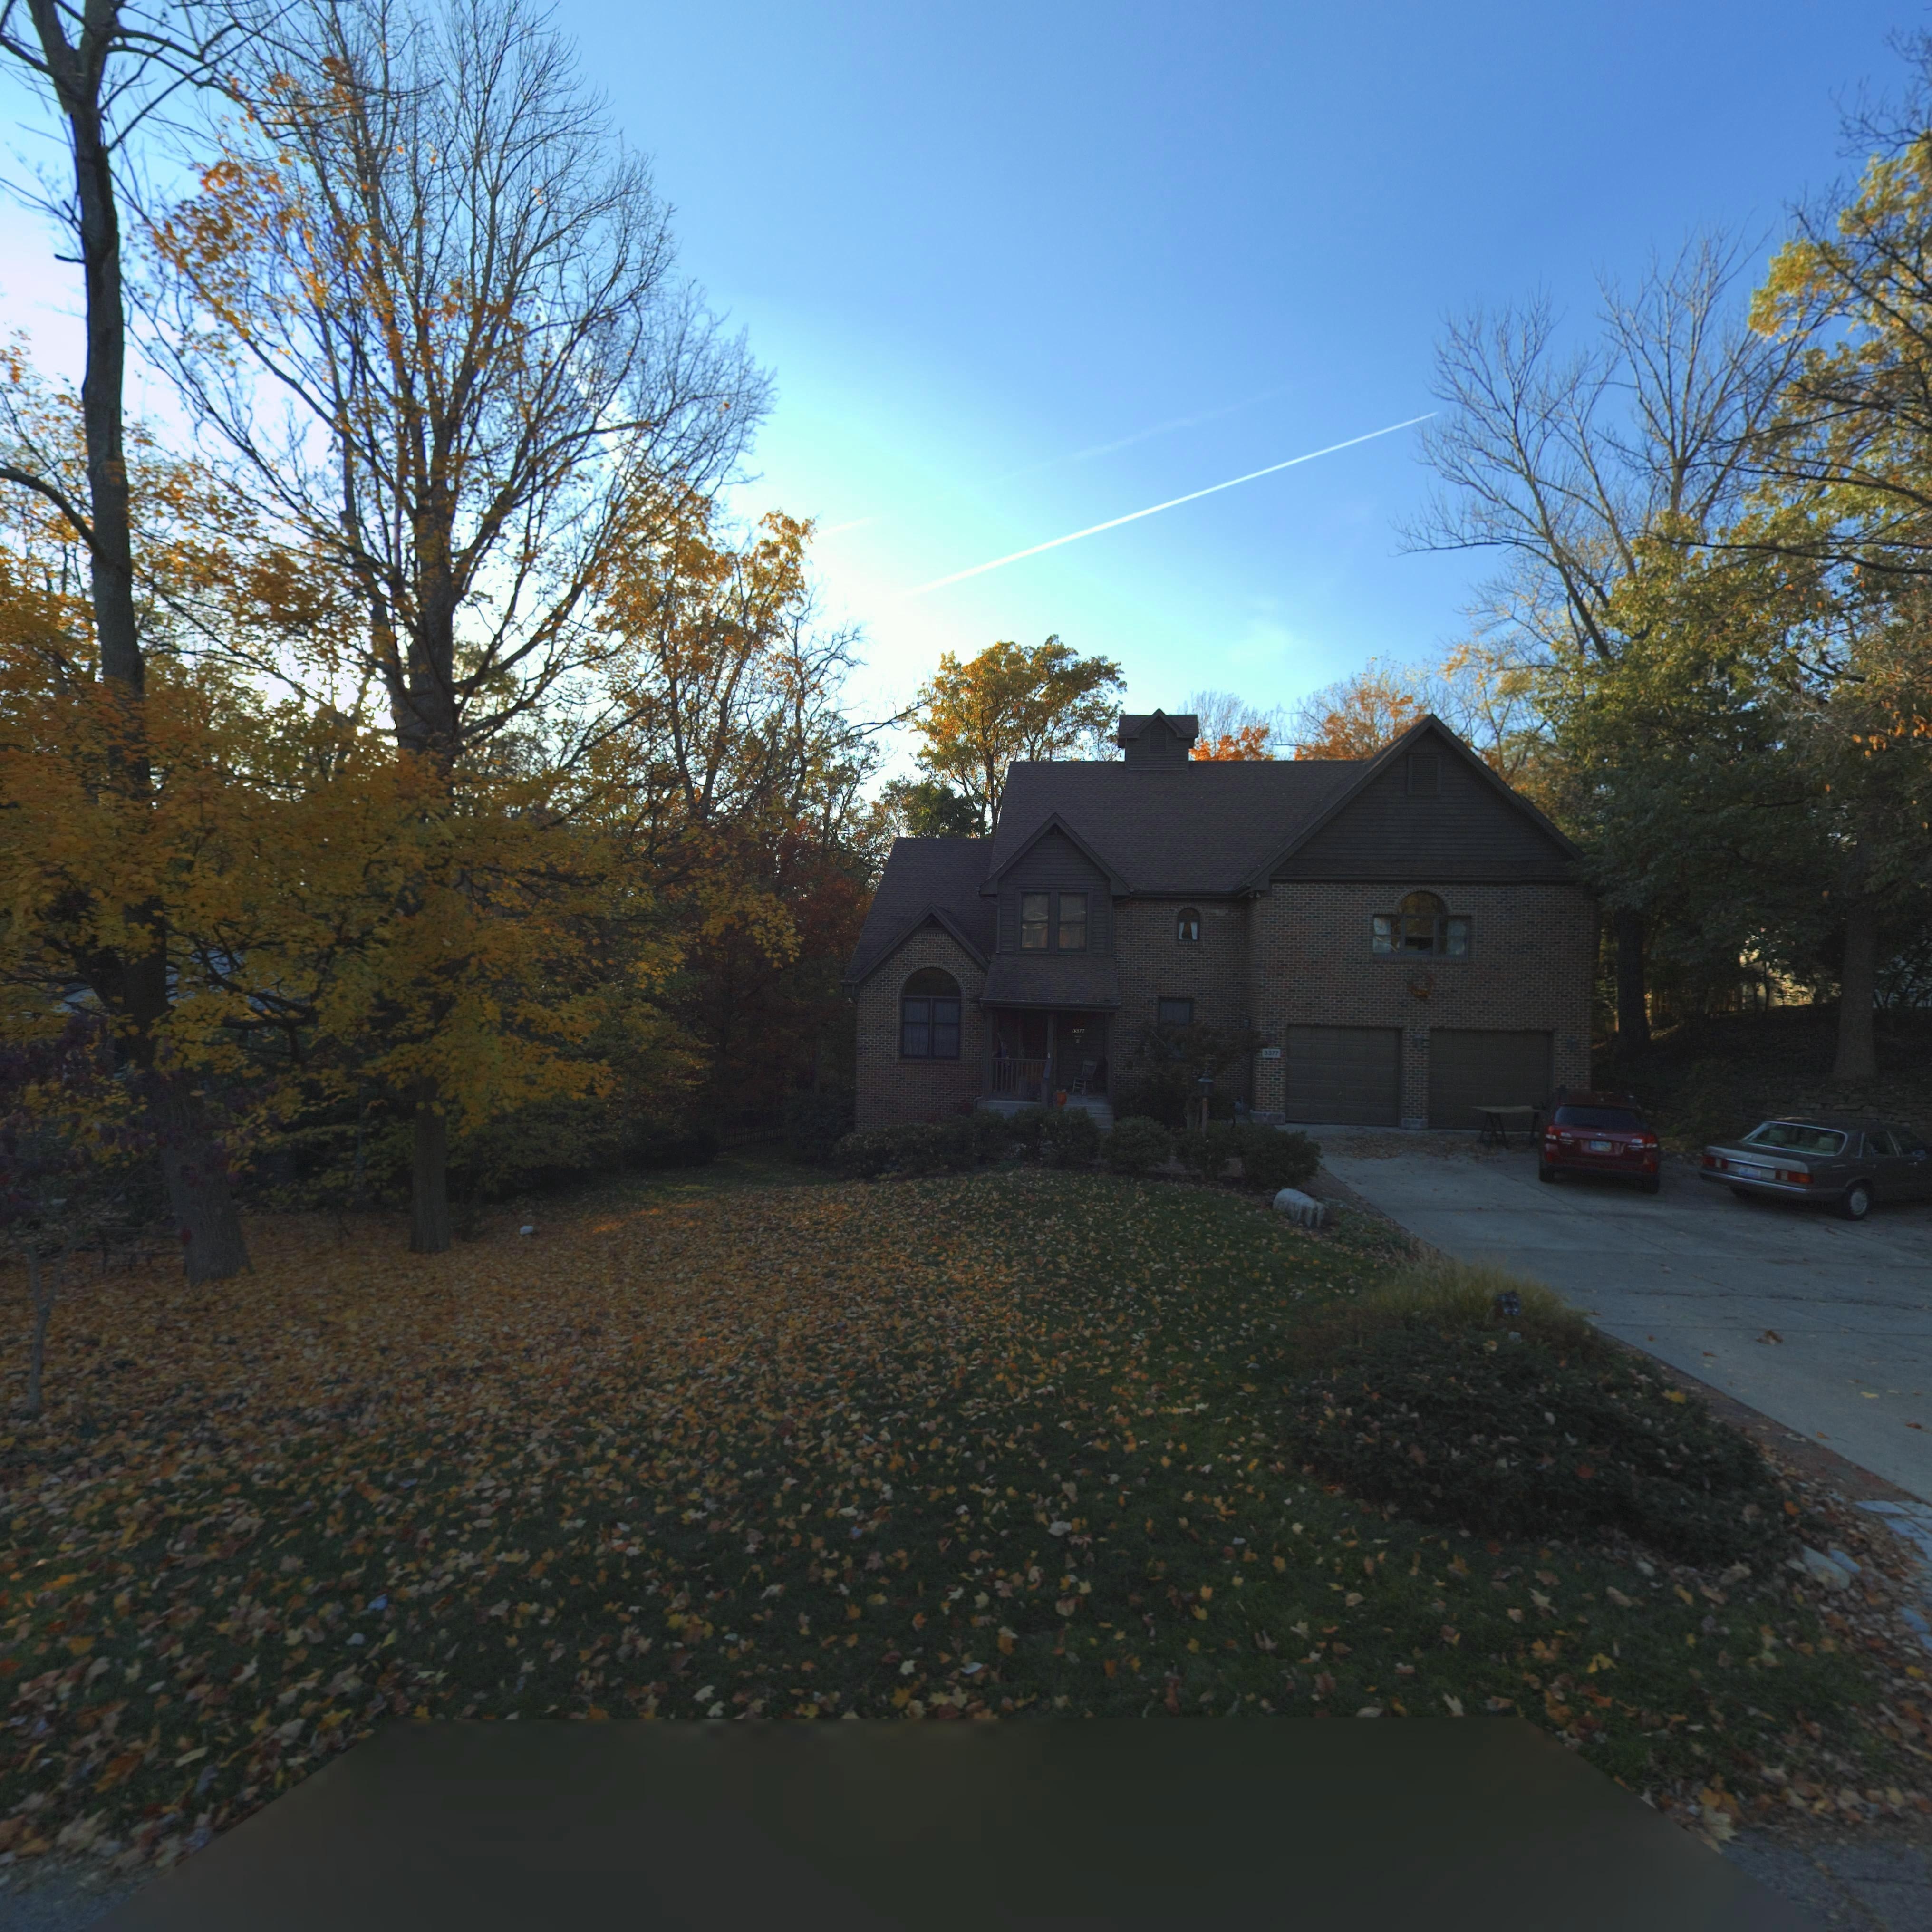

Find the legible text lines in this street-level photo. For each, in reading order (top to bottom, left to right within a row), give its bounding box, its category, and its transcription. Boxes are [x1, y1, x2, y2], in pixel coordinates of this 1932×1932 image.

[1072, 1028, 1085, 1034] StreetNumber: 3377
[1263, 1050, 1279, 1056] StreetNumber: 3377